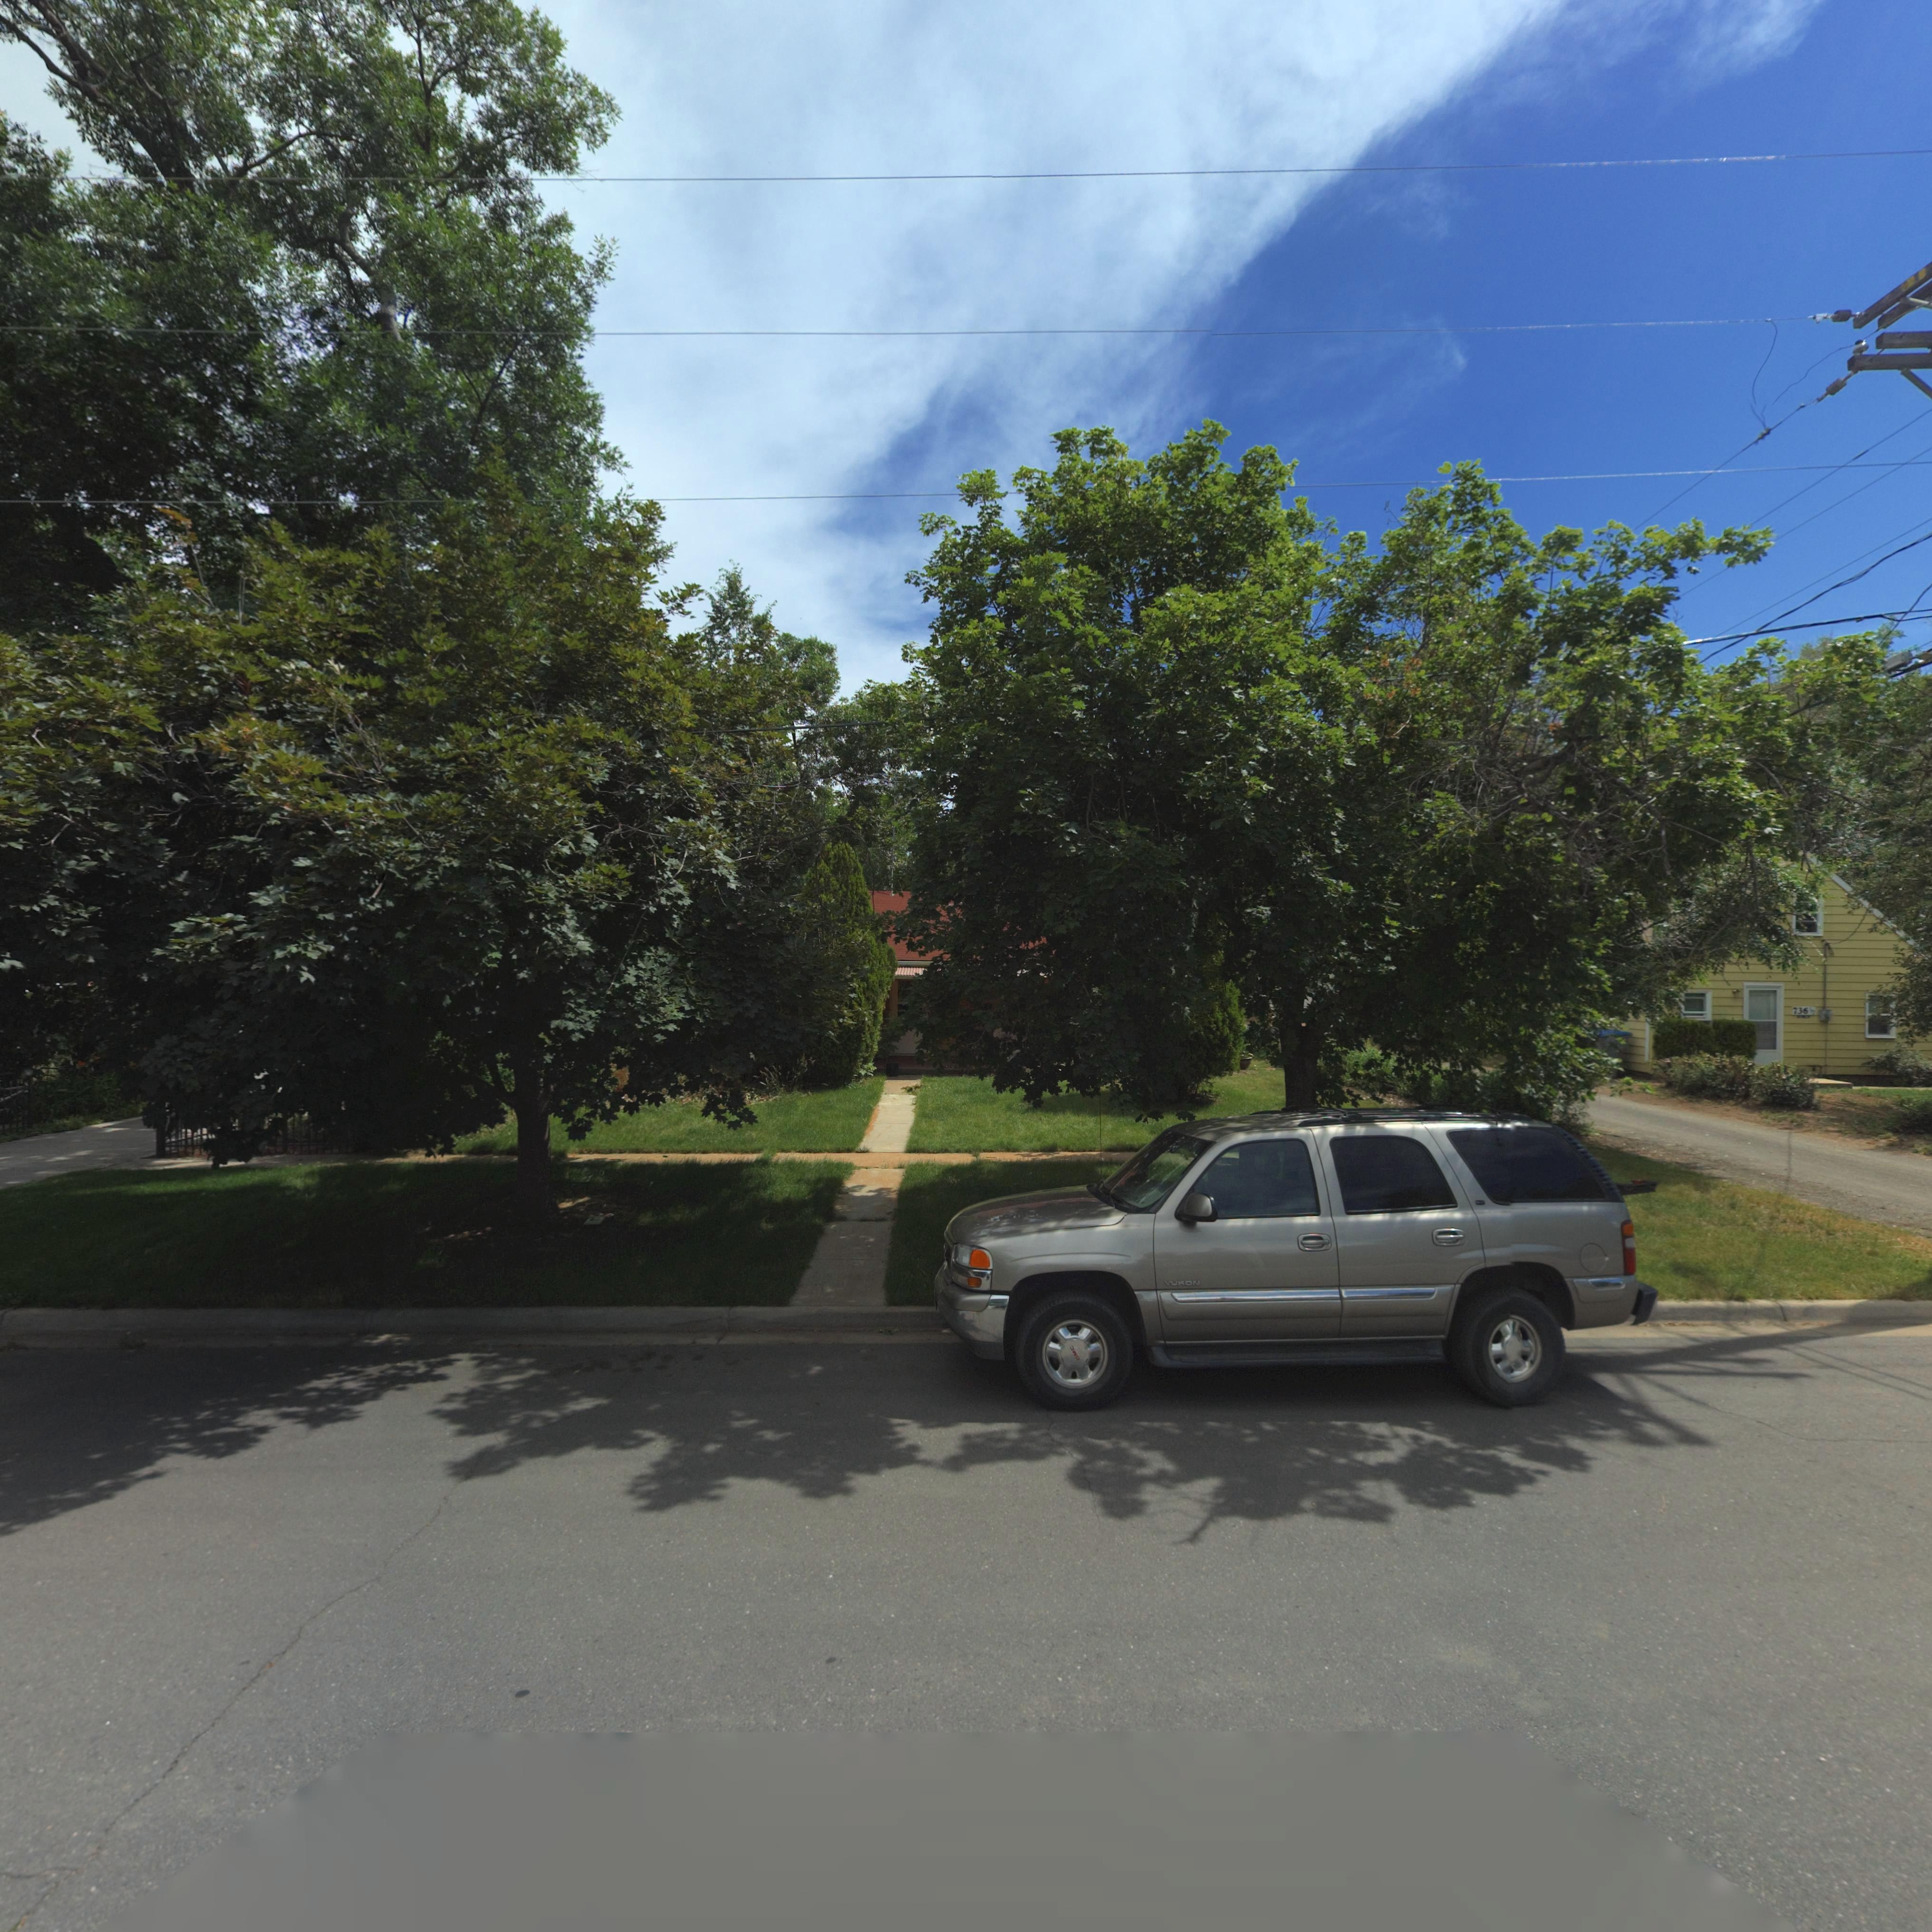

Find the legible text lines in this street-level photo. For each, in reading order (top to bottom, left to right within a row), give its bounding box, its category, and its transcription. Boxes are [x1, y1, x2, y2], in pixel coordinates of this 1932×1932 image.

[1791, 1006, 1816, 1015] StreetNumber: 736 1/2